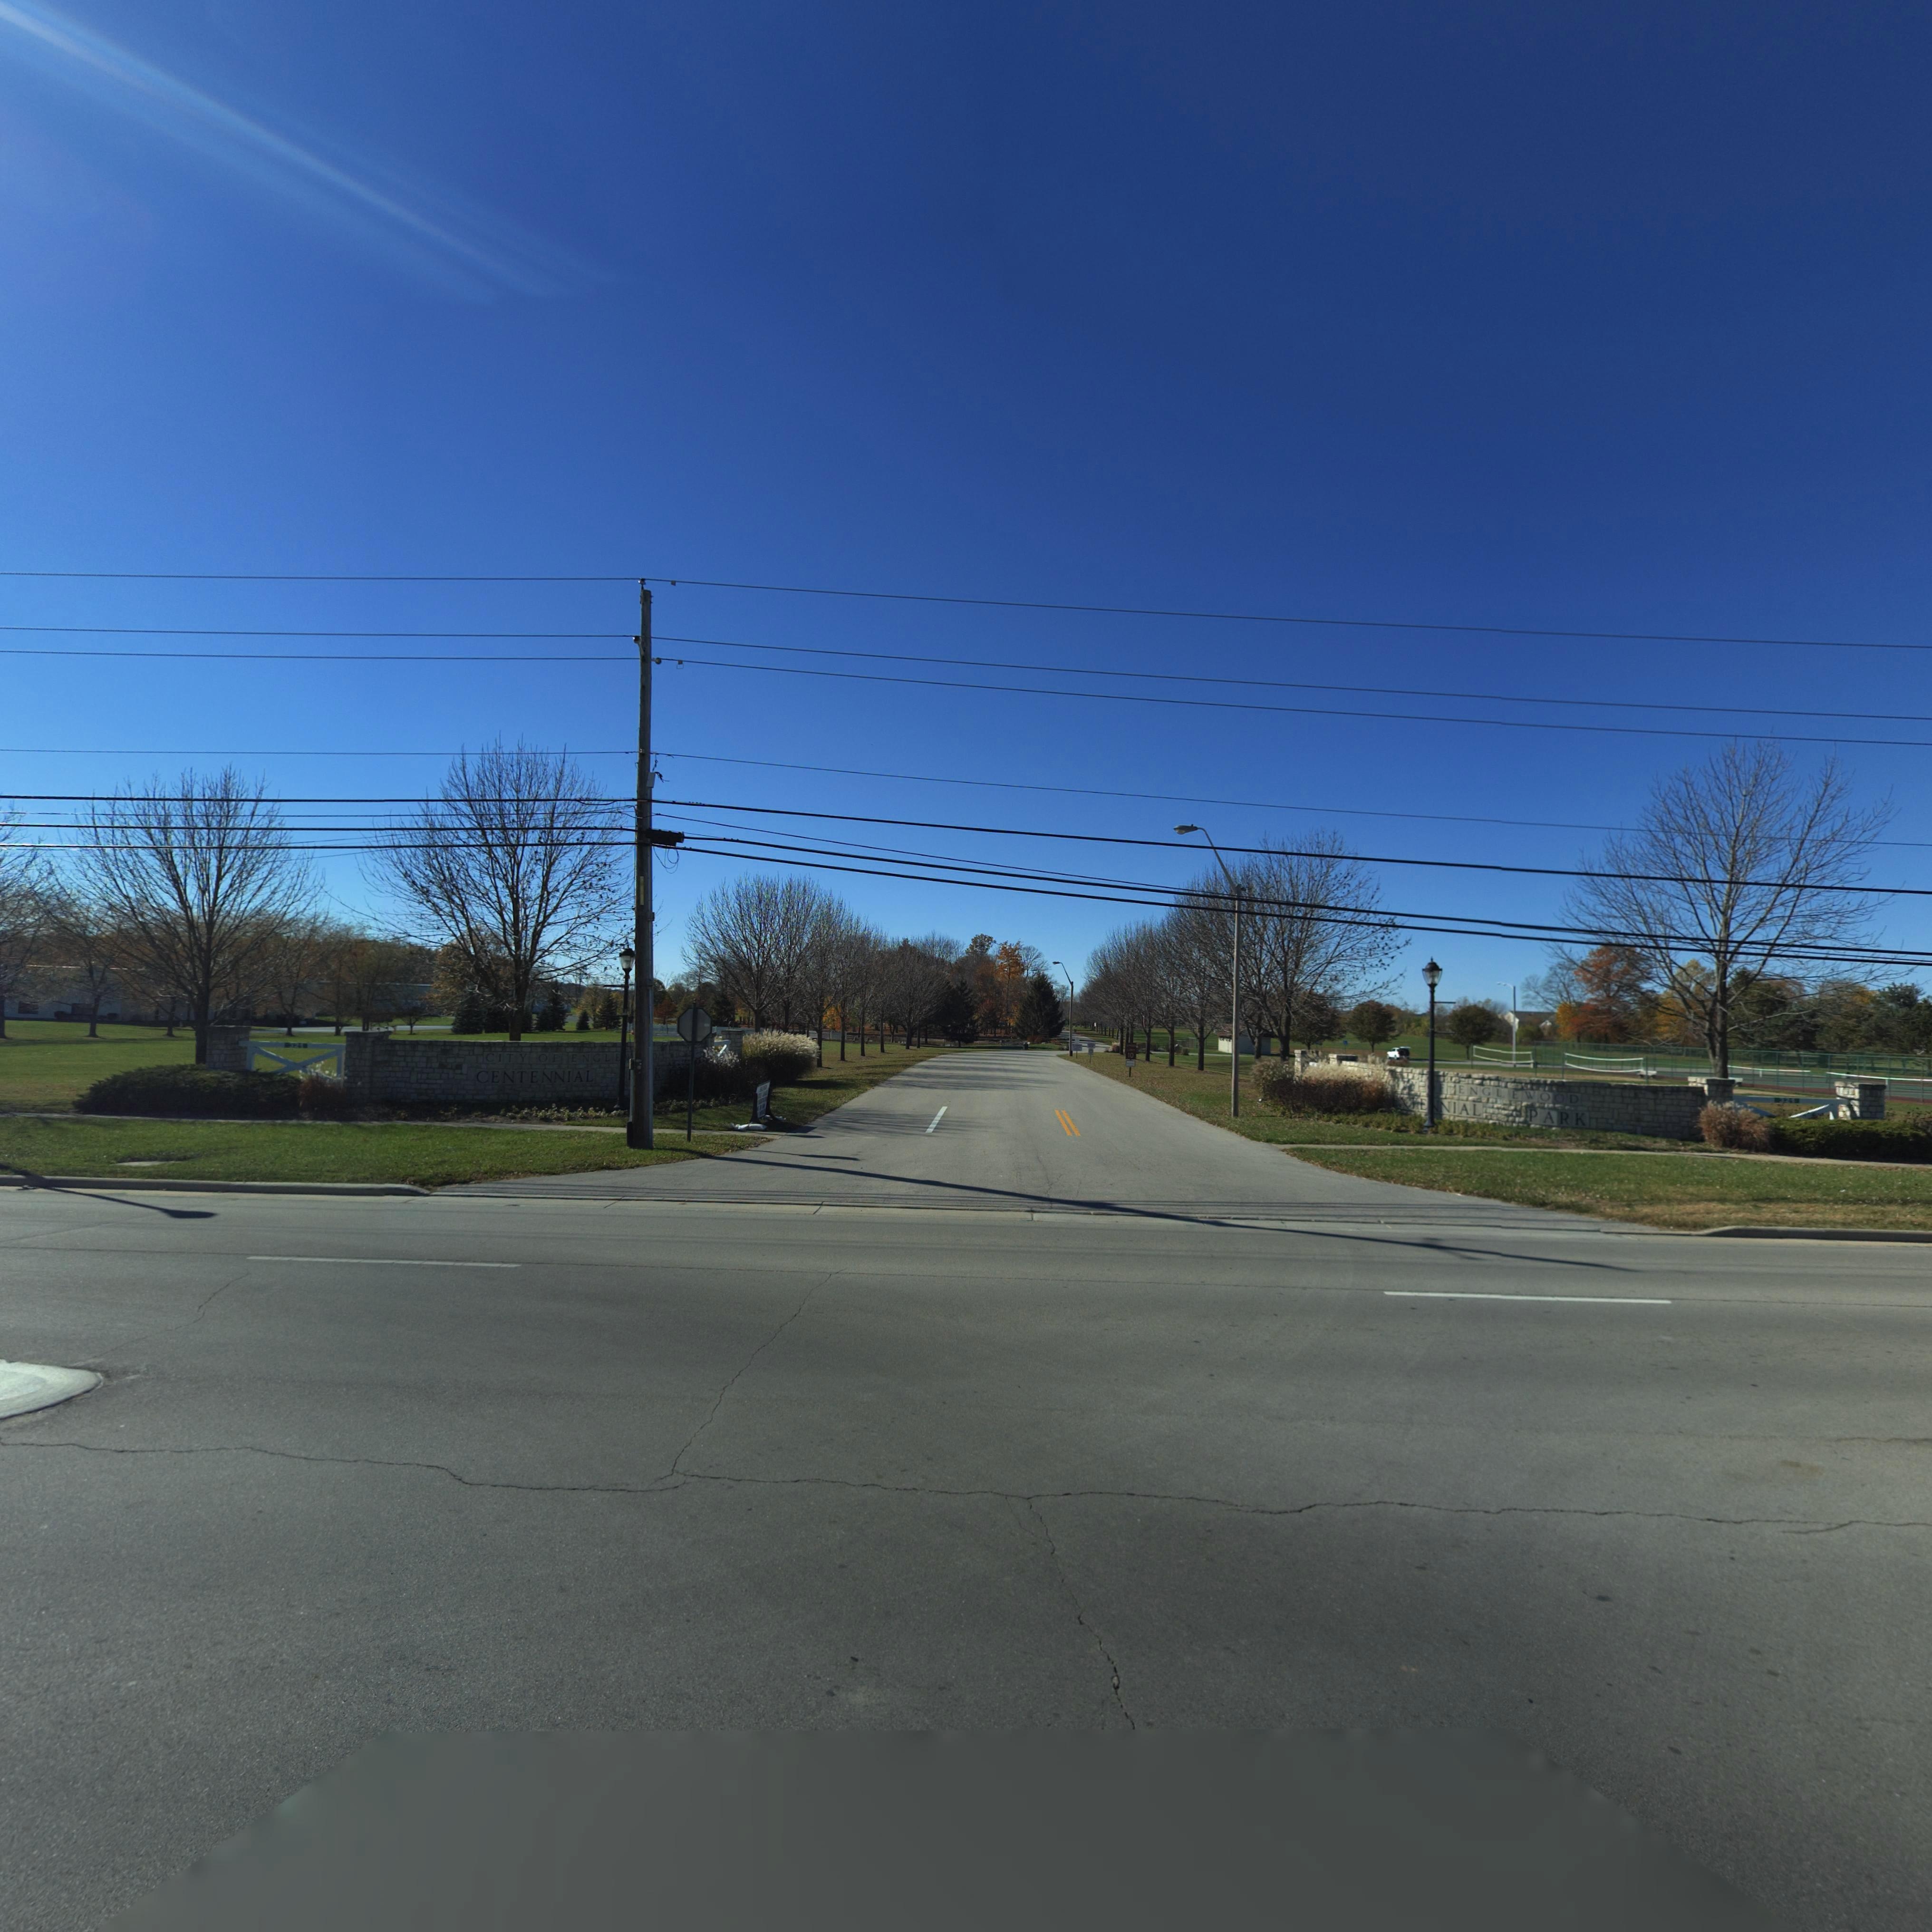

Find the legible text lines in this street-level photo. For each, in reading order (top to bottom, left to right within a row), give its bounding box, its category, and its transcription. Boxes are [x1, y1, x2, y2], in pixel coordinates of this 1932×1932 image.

[289, 1042, 304, 1049] StreetNumber: *21
[484, 1052, 620, 1064] None: CITY OF ENGLE
[1127, 1052, 1135, 1059] None: 10
[475, 1069, 595, 1085] None: CENTENNIAL
[1437, 1082, 1580, 1106] None: F ENGLEWOOD
[1779, 1097, 1796, 1104] StreetNumber: *2*
[1391, 1093, 1587, 1128] None: ENTE*NIAL PARK